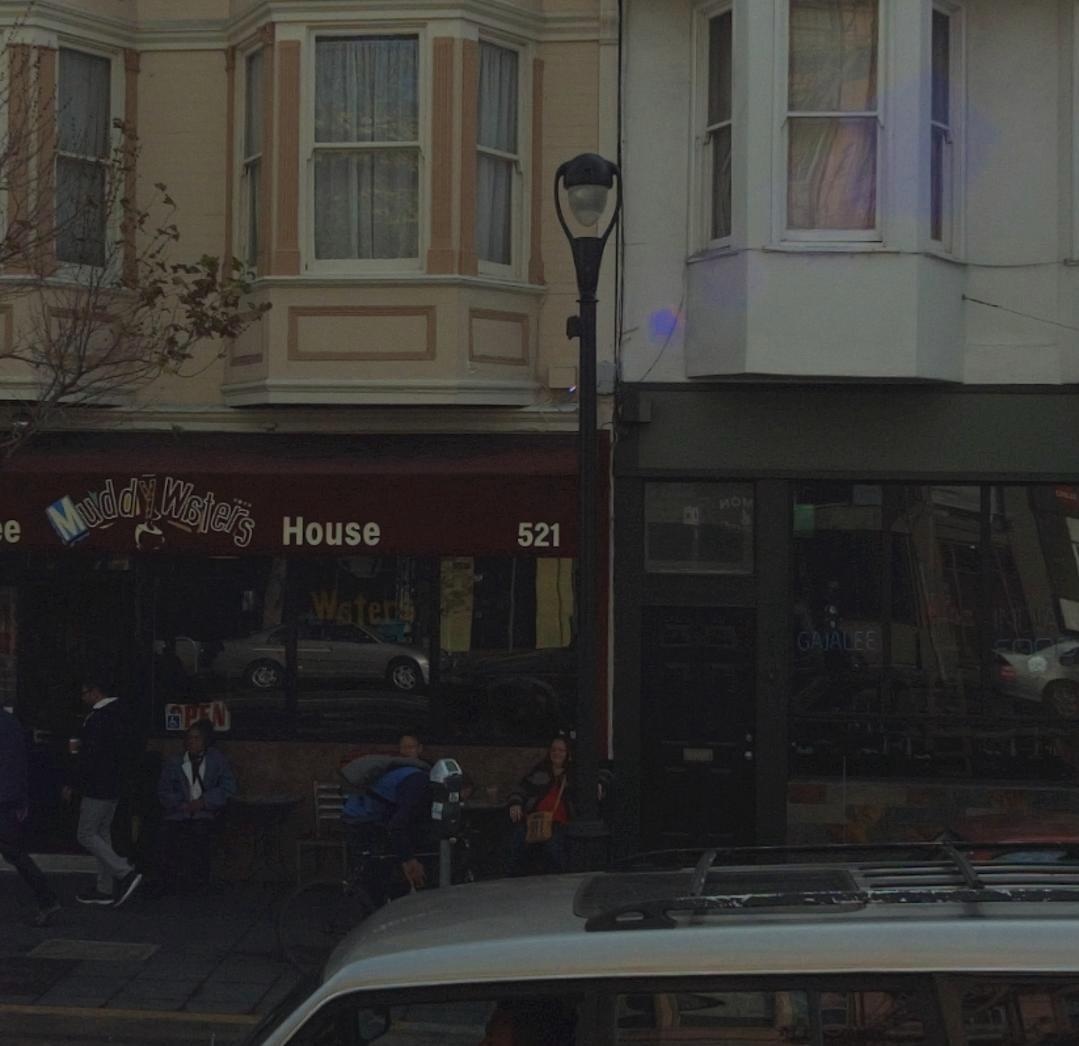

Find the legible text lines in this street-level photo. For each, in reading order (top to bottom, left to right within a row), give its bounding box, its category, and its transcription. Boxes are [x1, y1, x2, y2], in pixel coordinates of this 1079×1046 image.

[44, 475, 257, 549] BusinessName: Muddy W*ters
[281, 515, 380, 545] BusinessName: House
[517, 521, 561, 548] StreetNumber: 521
[307, 588, 402, 627] None: W*ter
[796, 629, 876, 652] None: GA*ALEE